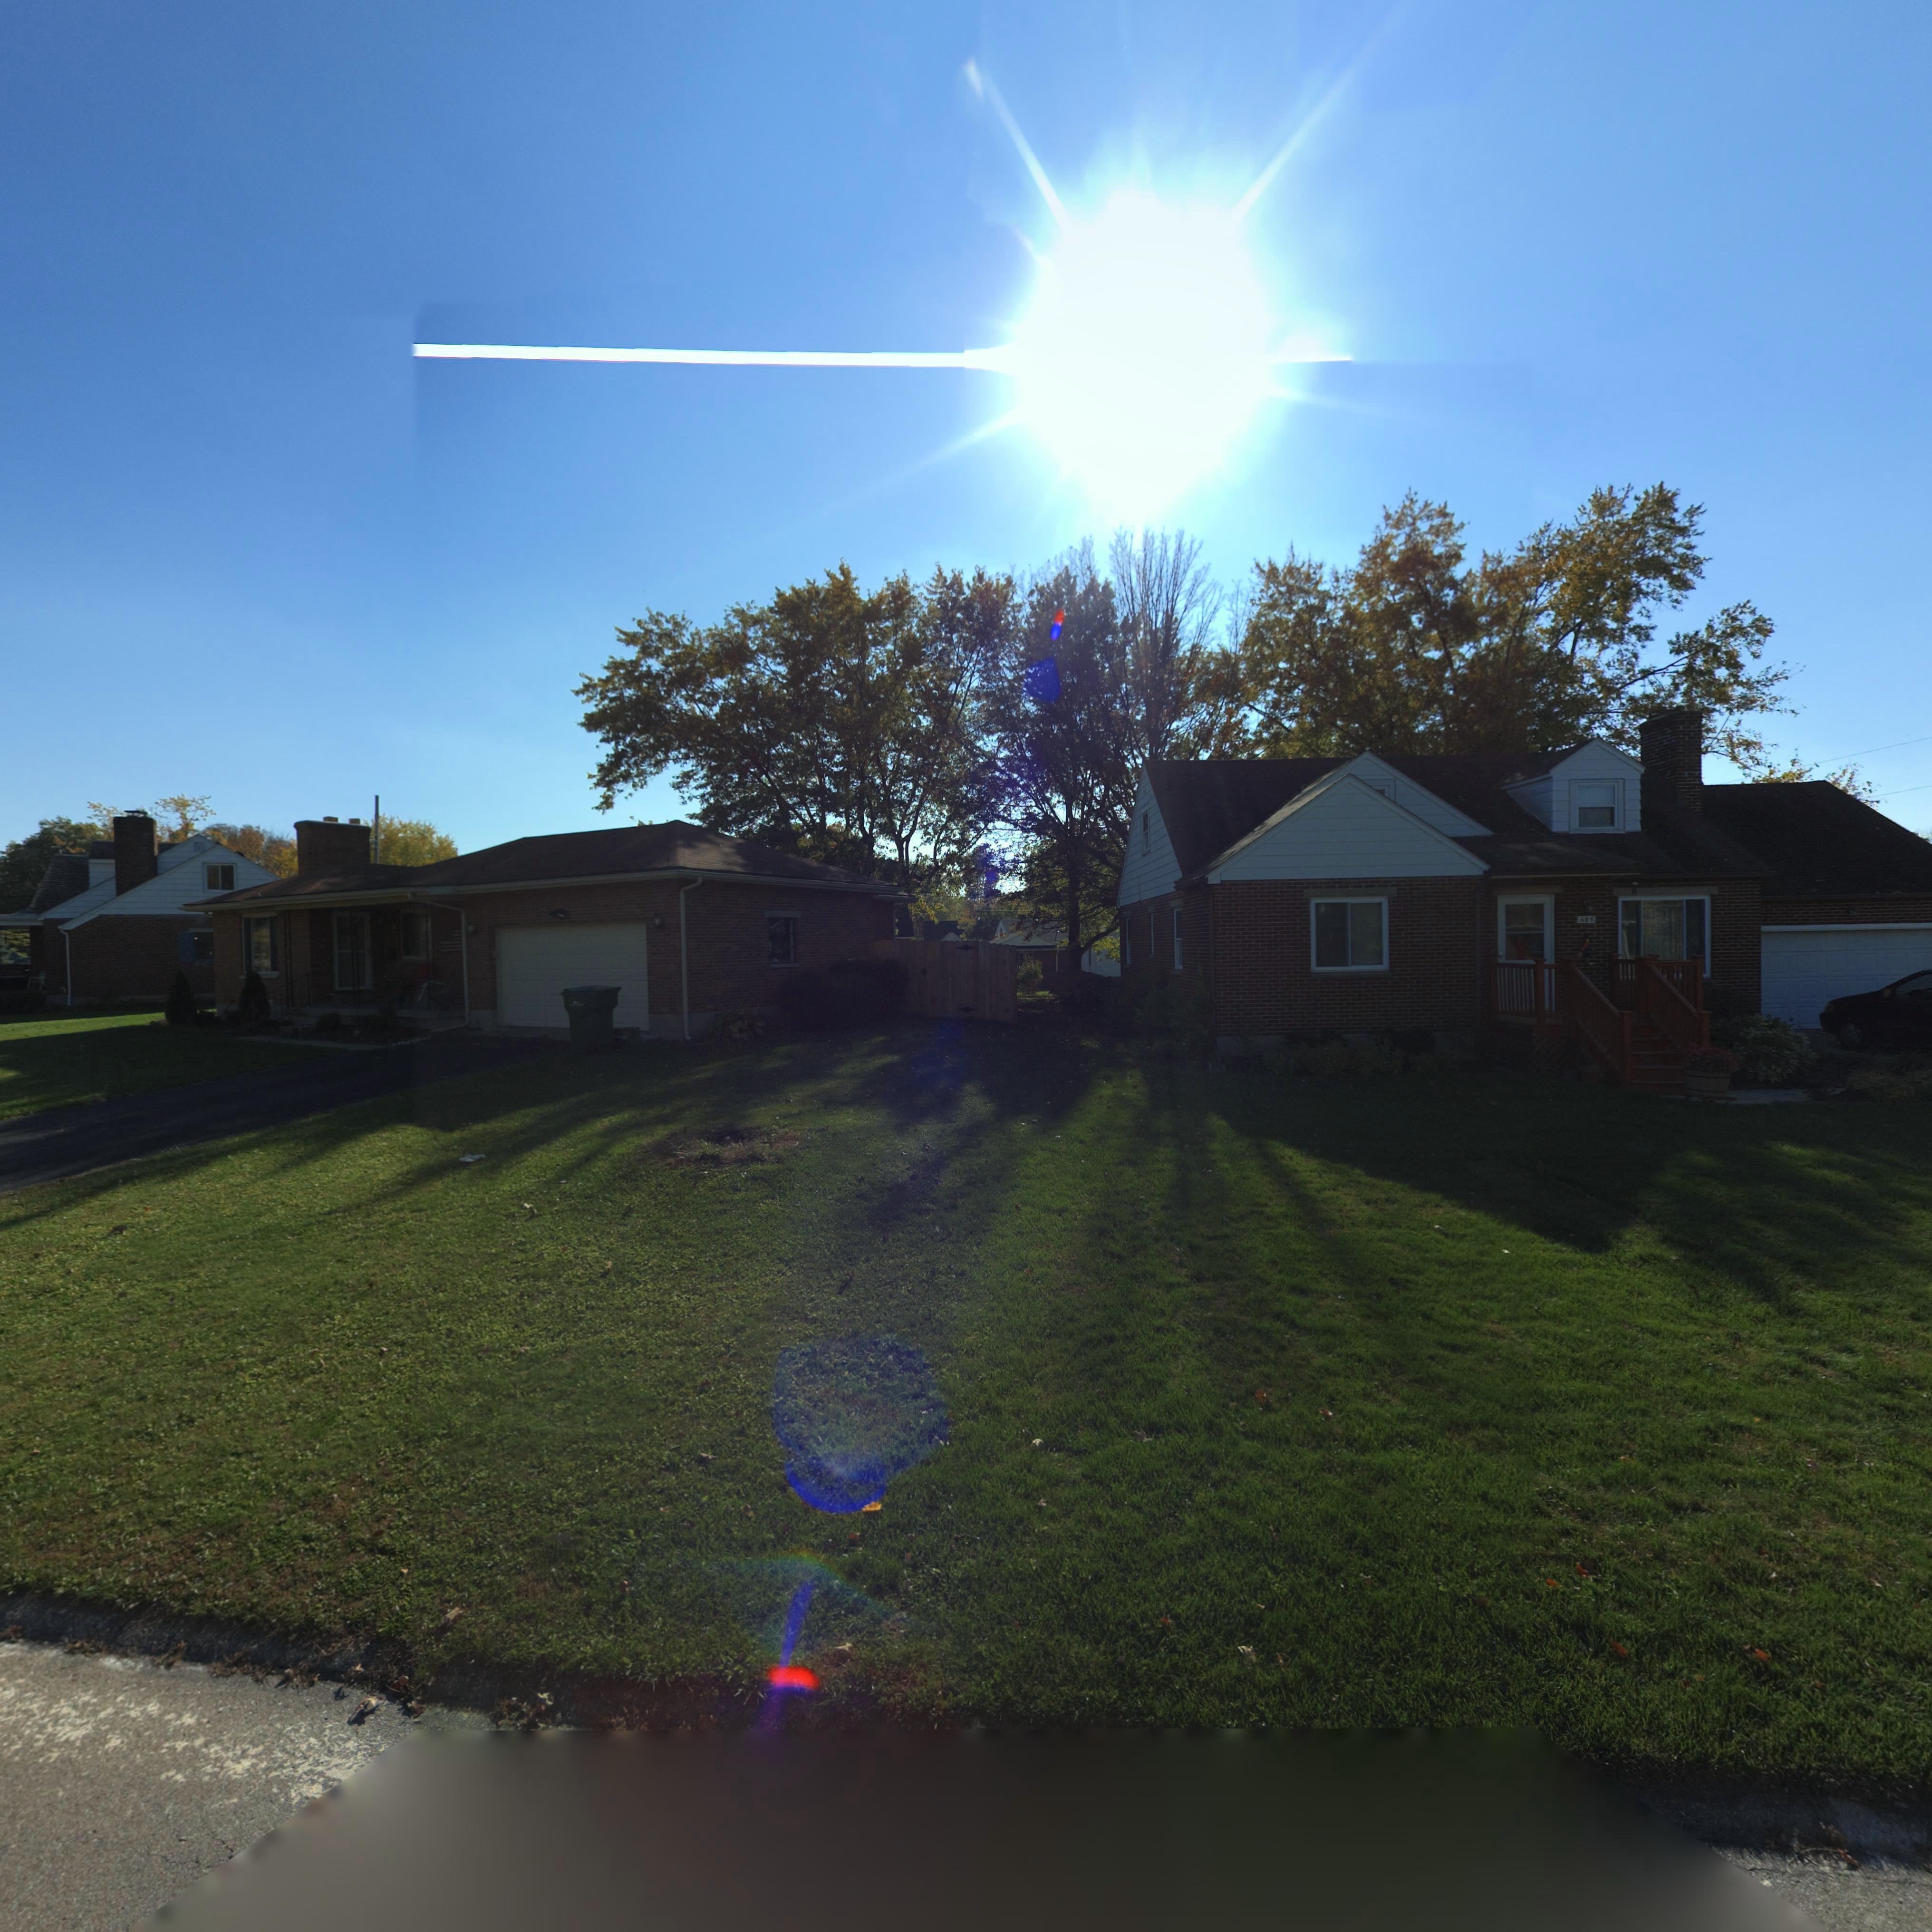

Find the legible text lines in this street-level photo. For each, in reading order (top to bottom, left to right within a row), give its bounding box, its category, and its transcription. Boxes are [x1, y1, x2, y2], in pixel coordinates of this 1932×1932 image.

[1580, 916, 1594, 923] StreetNumber: 6*4